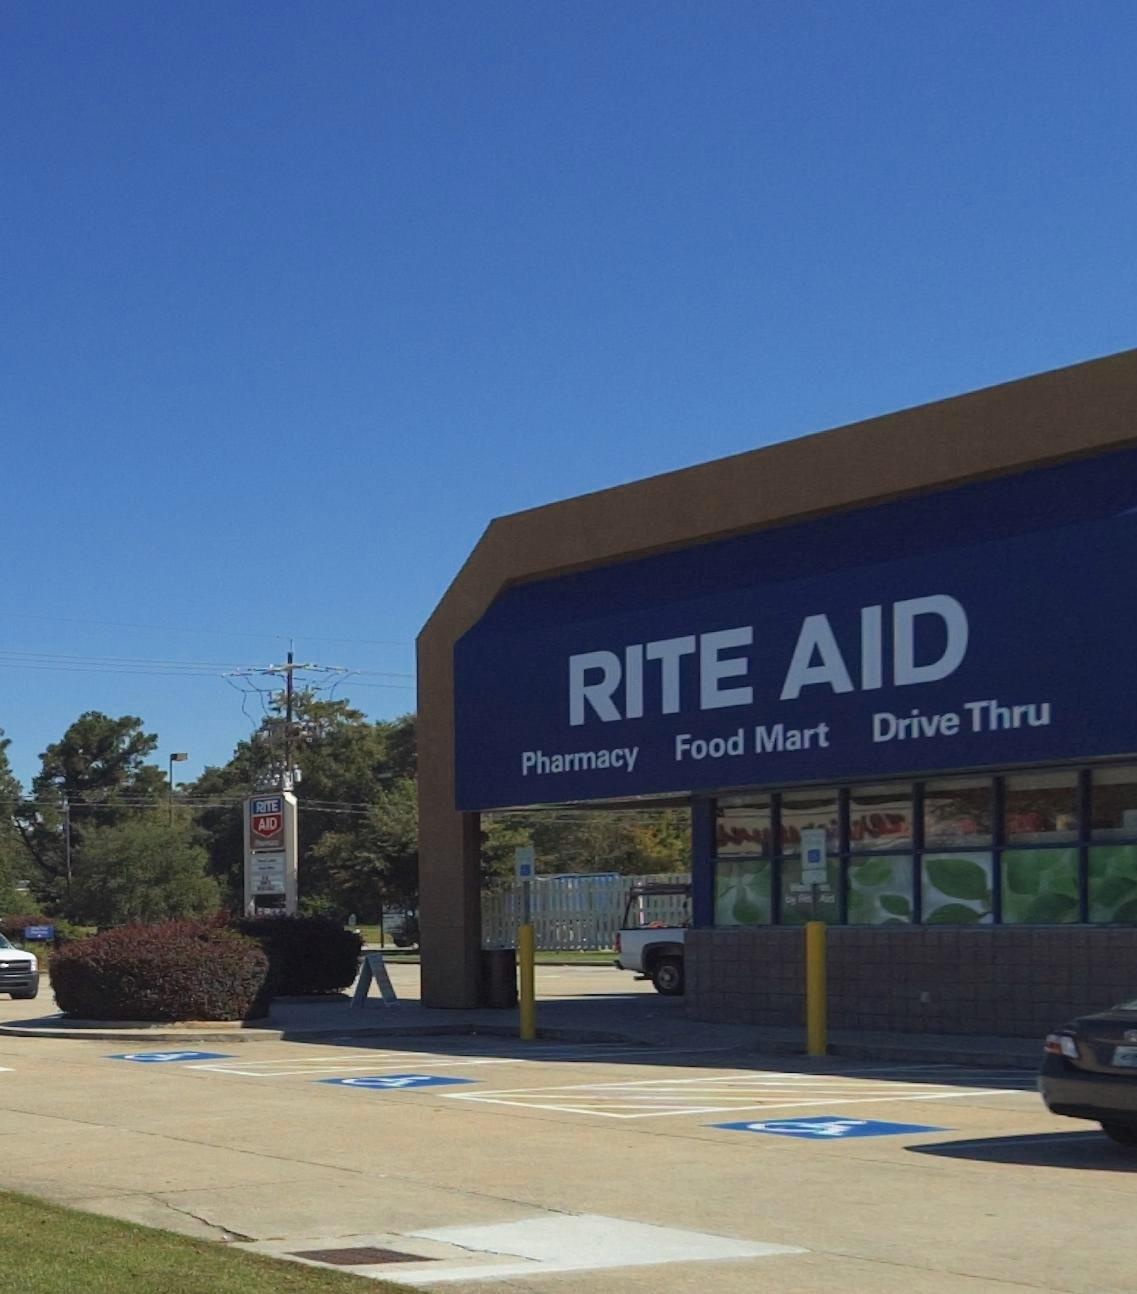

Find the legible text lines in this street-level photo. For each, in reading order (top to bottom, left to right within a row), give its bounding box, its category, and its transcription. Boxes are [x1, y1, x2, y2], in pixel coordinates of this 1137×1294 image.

[567, 586, 974, 729] BusinessName: RITE AID
[518, 697, 1052, 779] None: Pharmacy Food Mart Drive Thru
[255, 798, 280, 814] BusinessName: RITE
[256, 816, 279, 832] BusinessName: AID
[783, 892, 837, 908] None: by Rit* Aid